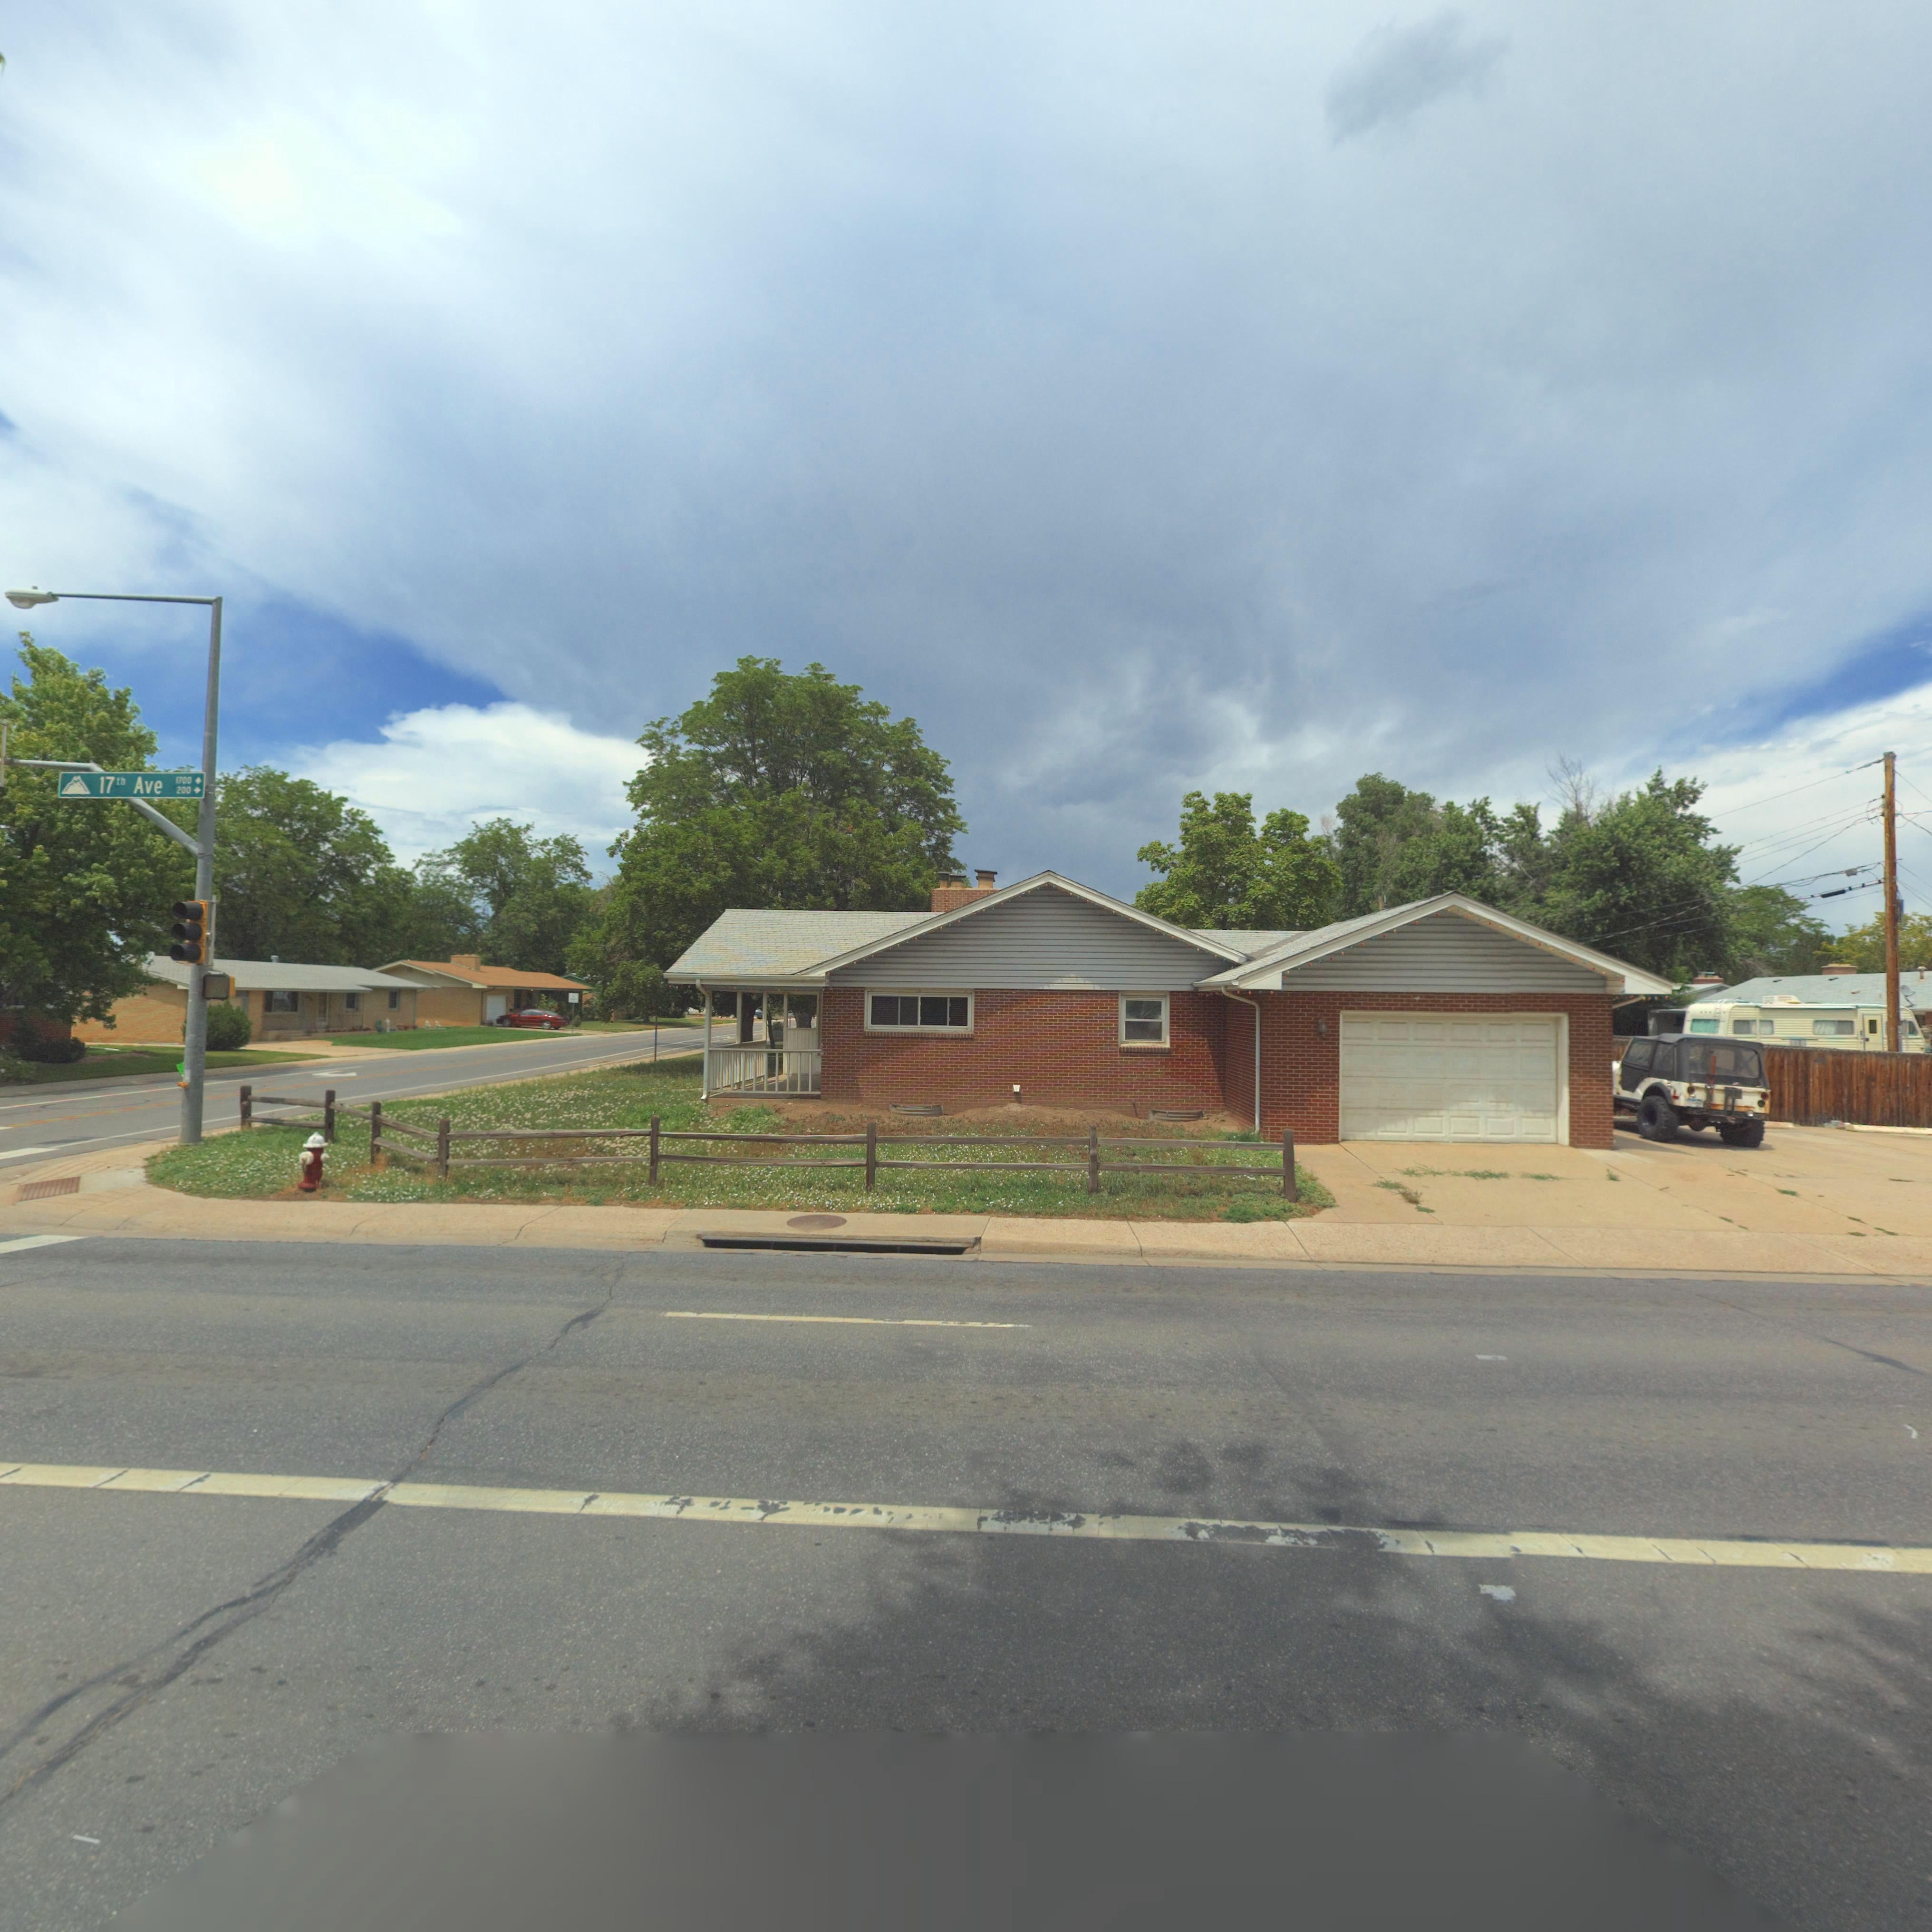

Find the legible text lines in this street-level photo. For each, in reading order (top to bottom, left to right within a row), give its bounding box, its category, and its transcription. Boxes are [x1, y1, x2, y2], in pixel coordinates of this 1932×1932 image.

[175, 776, 203, 784] StreetNumberRange: 1700->
[99, 775, 163, 795] StreetName: 17th Ave
[175, 785, 202, 794] StreetNumberRange: 200->